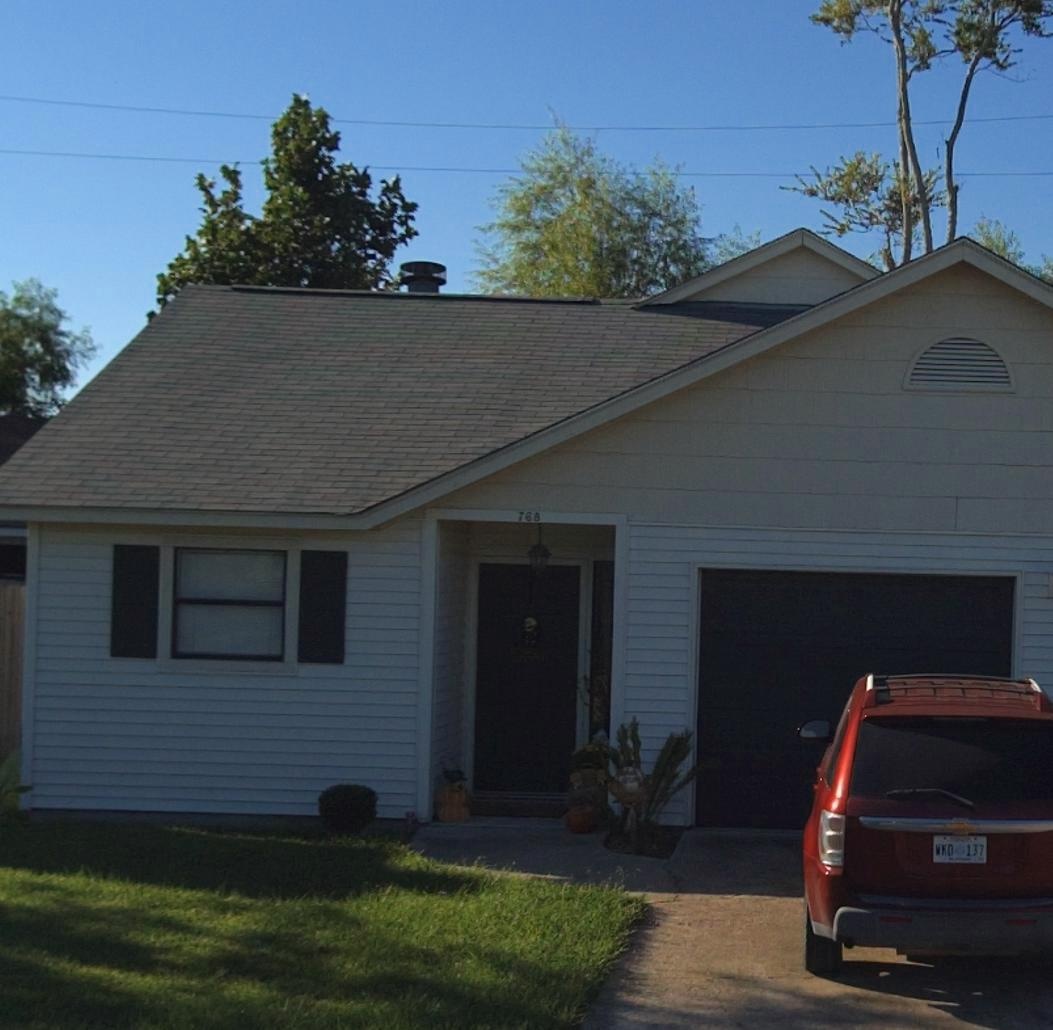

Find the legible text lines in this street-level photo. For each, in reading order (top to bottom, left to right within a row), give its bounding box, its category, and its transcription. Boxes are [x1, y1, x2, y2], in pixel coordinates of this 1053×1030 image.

[517, 511, 541, 522] StreetNumber: 768
[935, 842, 985, 857] None: WND 137